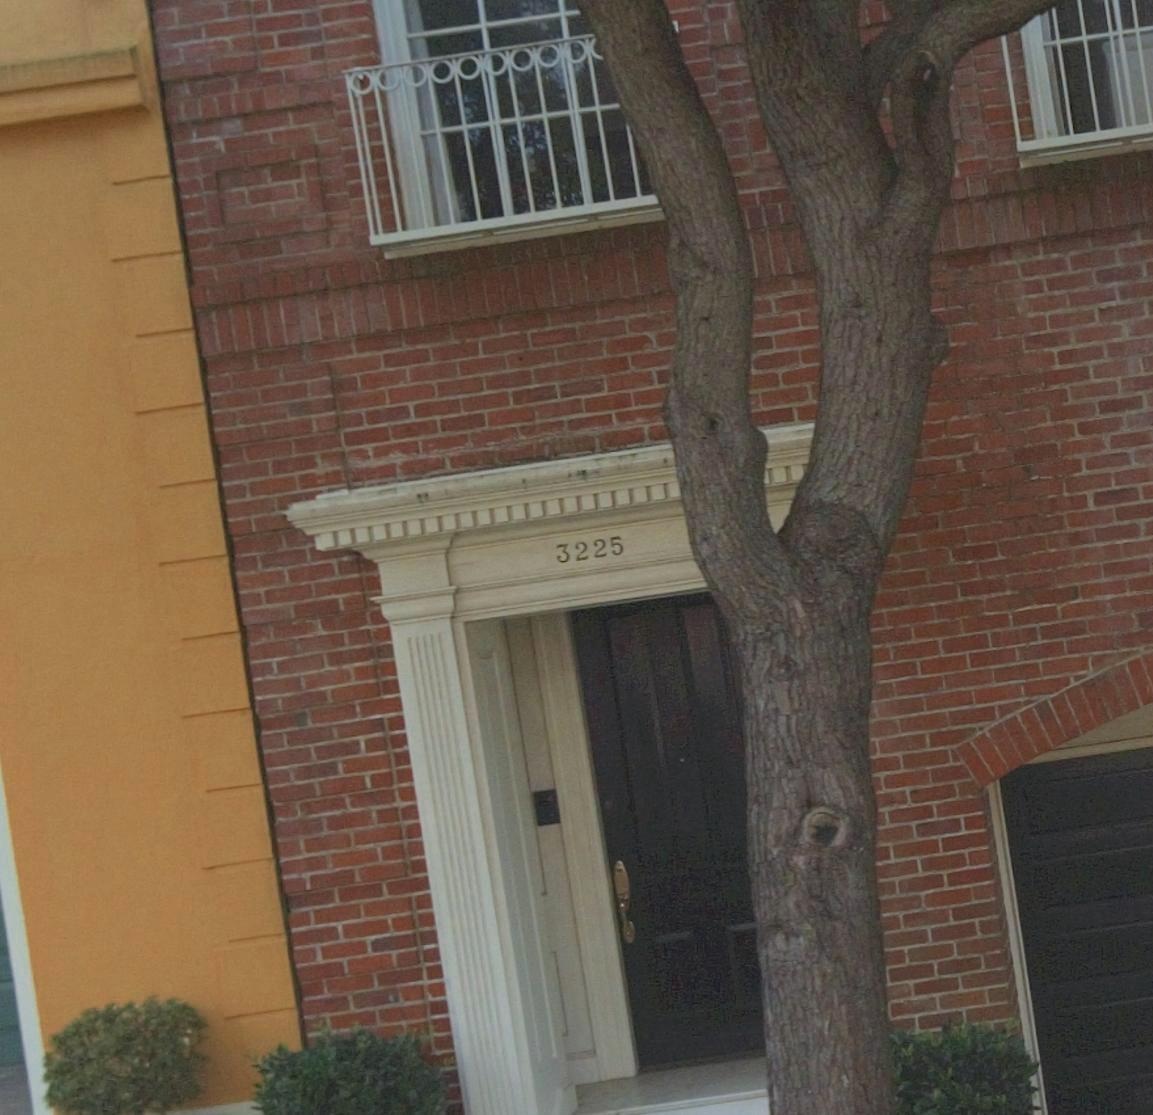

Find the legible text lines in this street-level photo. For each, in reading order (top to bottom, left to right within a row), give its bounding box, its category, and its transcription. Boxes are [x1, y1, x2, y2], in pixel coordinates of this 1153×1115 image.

[552, 533, 628, 566] StreetNumber: 3225